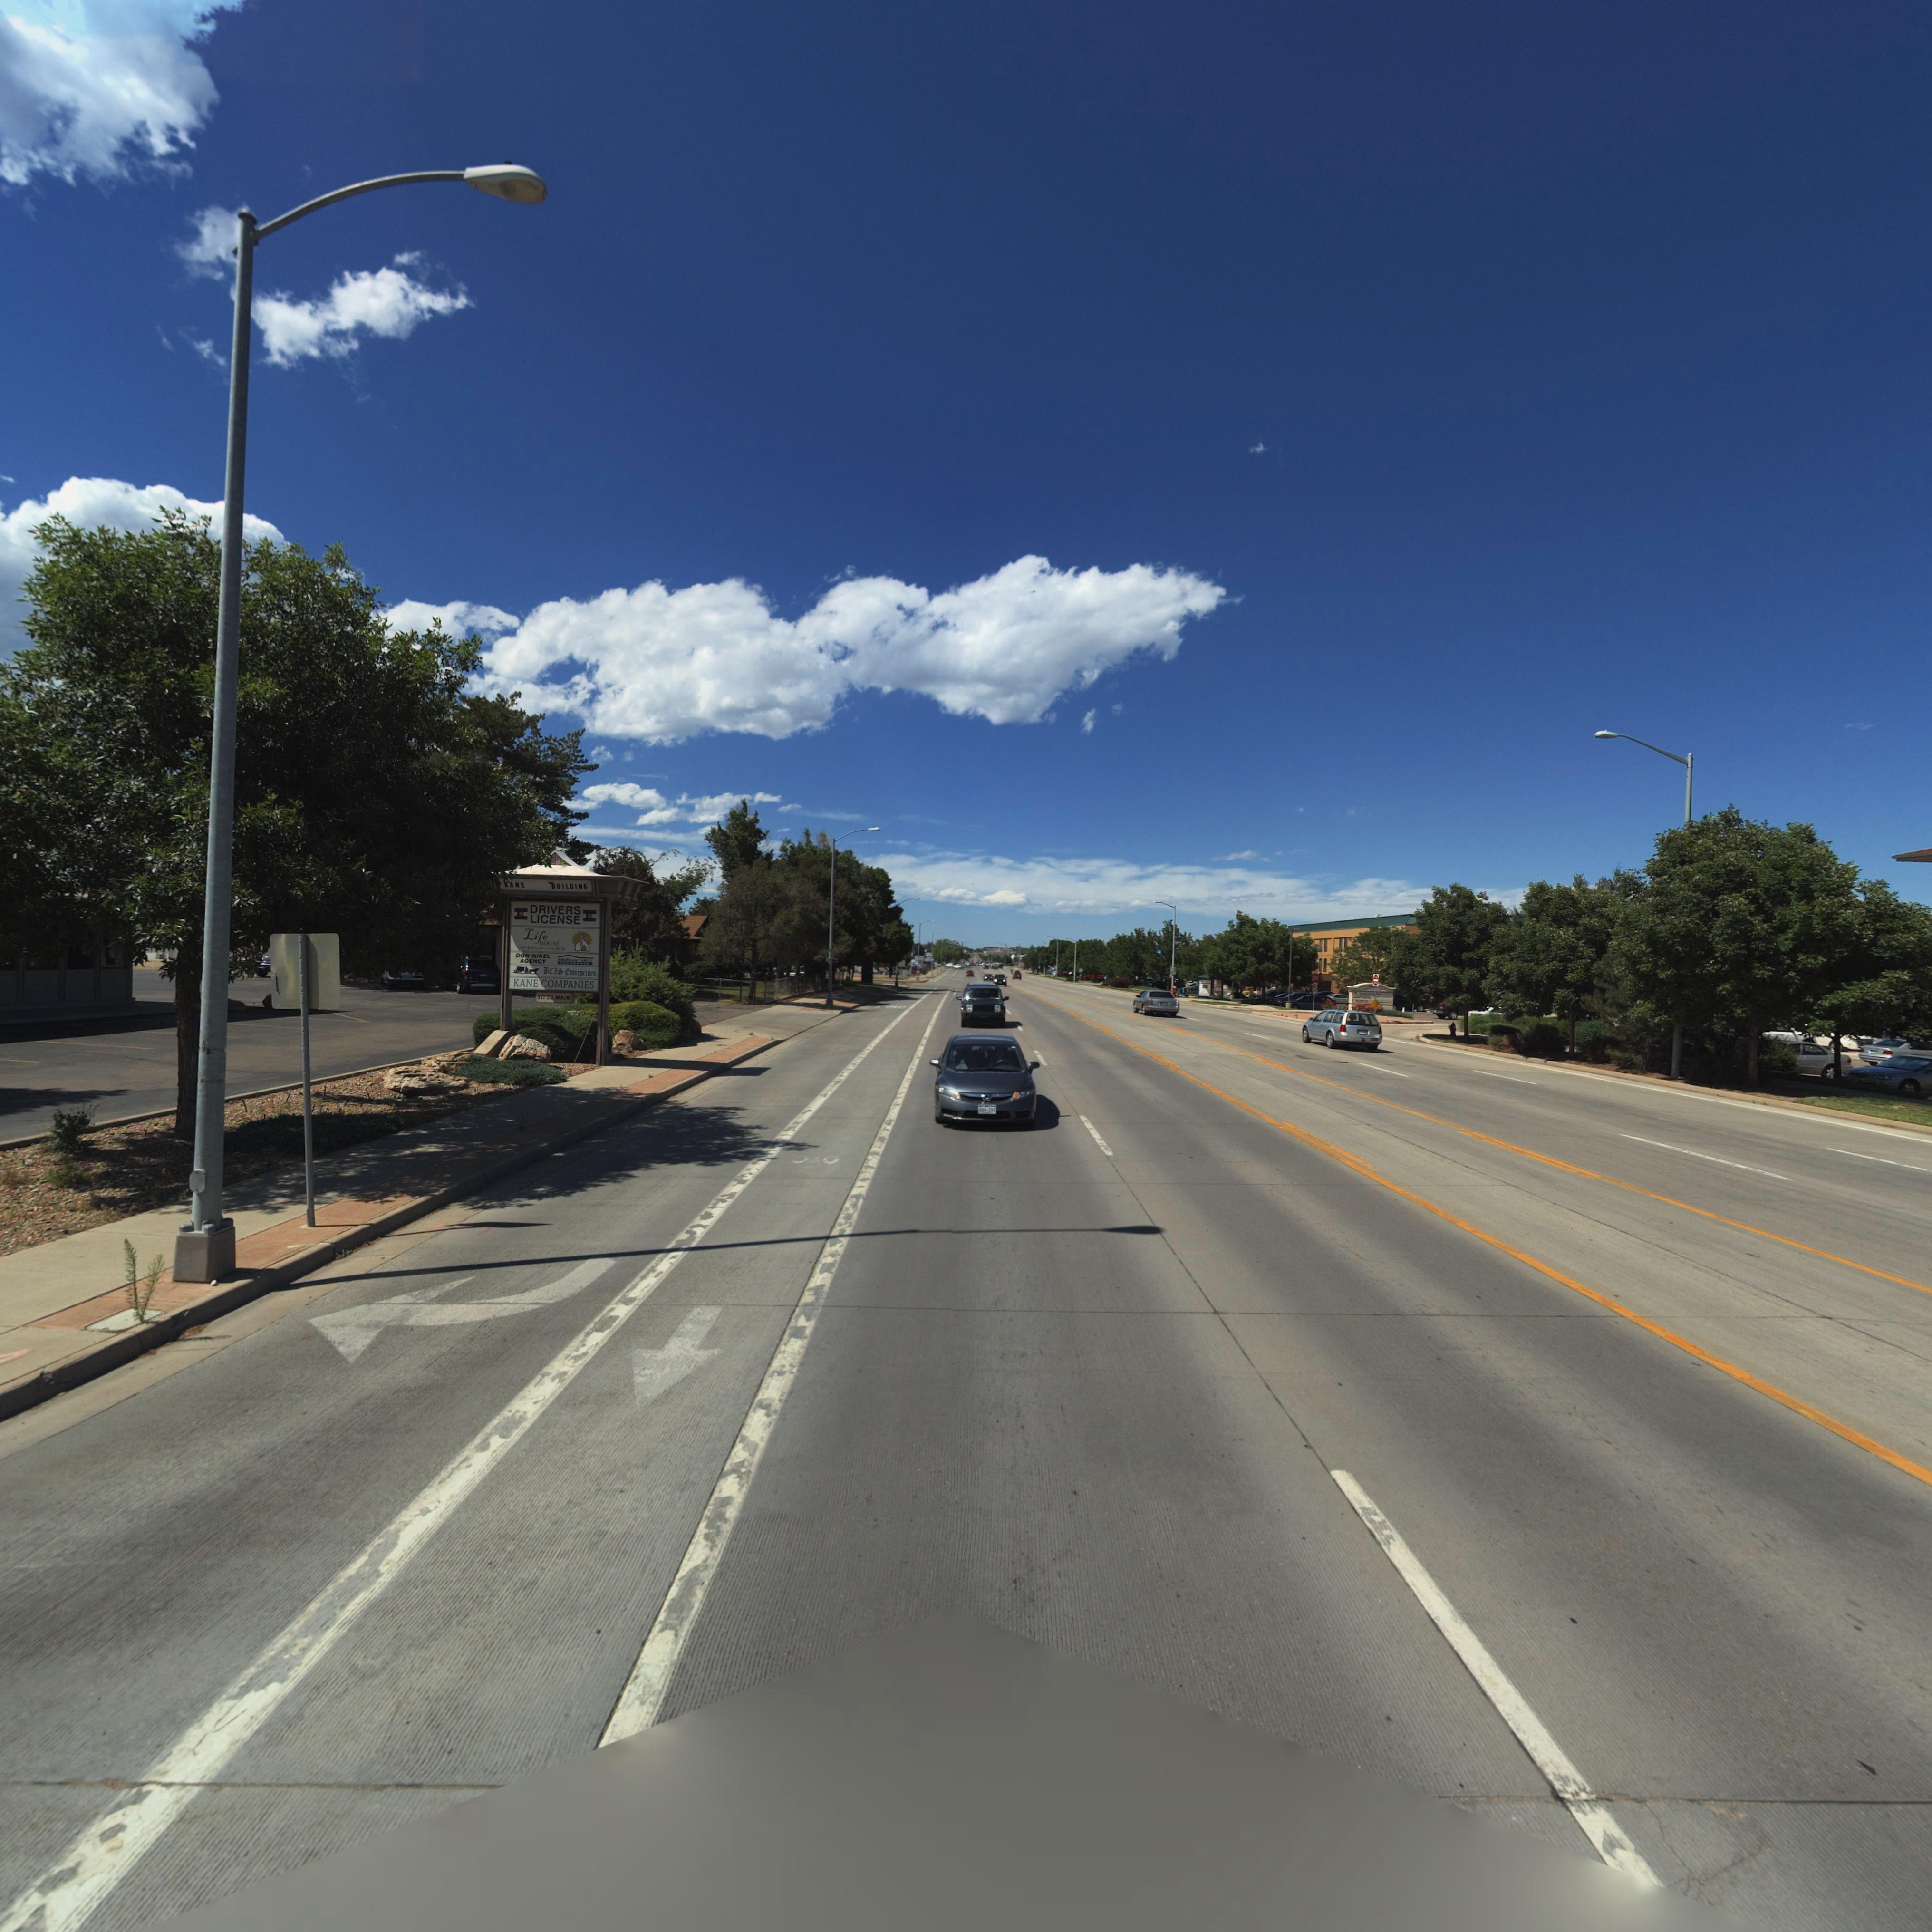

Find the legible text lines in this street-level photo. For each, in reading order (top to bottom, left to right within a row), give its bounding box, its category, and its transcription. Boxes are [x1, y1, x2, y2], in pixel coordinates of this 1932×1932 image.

[530, 904, 581, 915] BusinessName: DRIVERS
[530, 914, 580, 924] BusinessName: LICENSE
[523, 927, 548, 944] BusinessName: Life
[539, 941, 560, 946] BusinessName: HOUSE
[516, 945, 565, 951] BusinessName: COVENANT CHURCH
[557, 957, 592, 962] BusinessName: A*ER**AN *AM**Y
[560, 961, 590, 965] BusinessName: I***AN**
[543, 966, 596, 976] BusinessName: BCIS Enterpriscs
[513, 978, 594, 989] BusinessName: KANE COMPANIES
[537, 995, 545, 999] StreetNumber: 91*
[546, 995, 570, 1000] StreetName: SO* MAIN